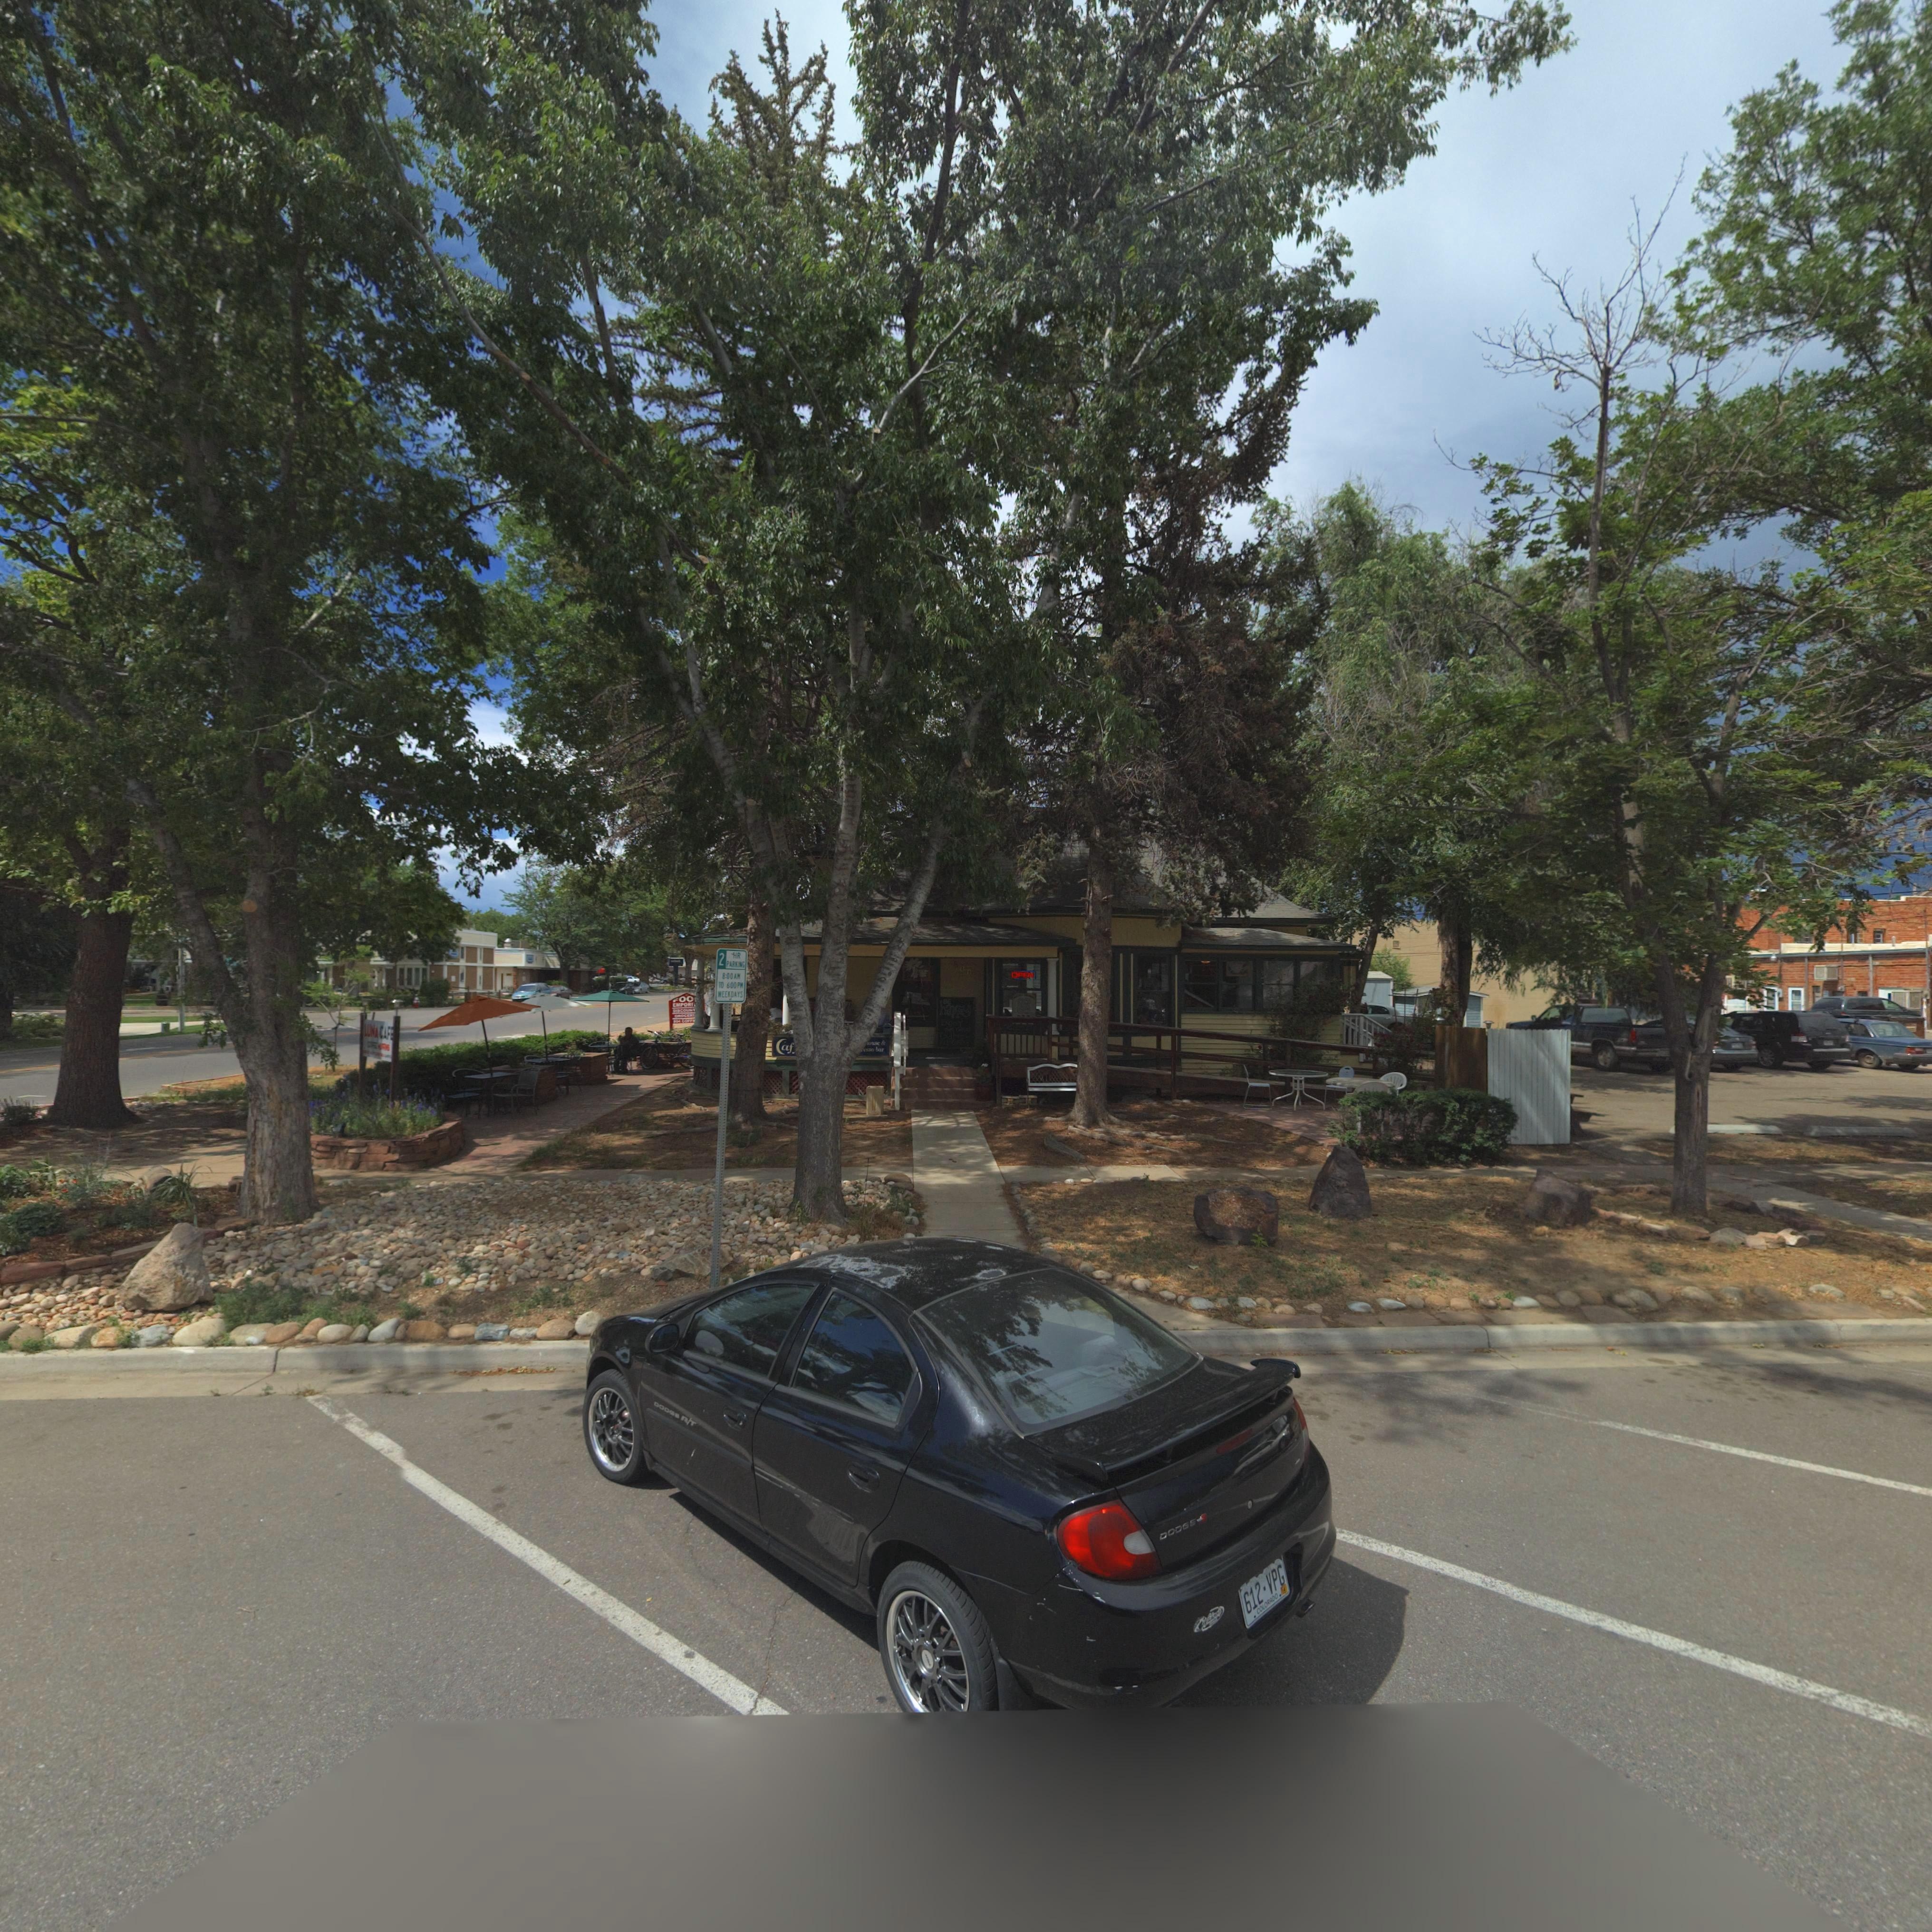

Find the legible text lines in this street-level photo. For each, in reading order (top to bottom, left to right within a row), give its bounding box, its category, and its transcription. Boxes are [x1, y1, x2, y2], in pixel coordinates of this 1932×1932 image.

[952, 960, 973, 977] StreetNumber: 800
[774, 1037, 795, 1055] BusinessName: Caf
[868, 1040, 886, 1045] None: ouse &